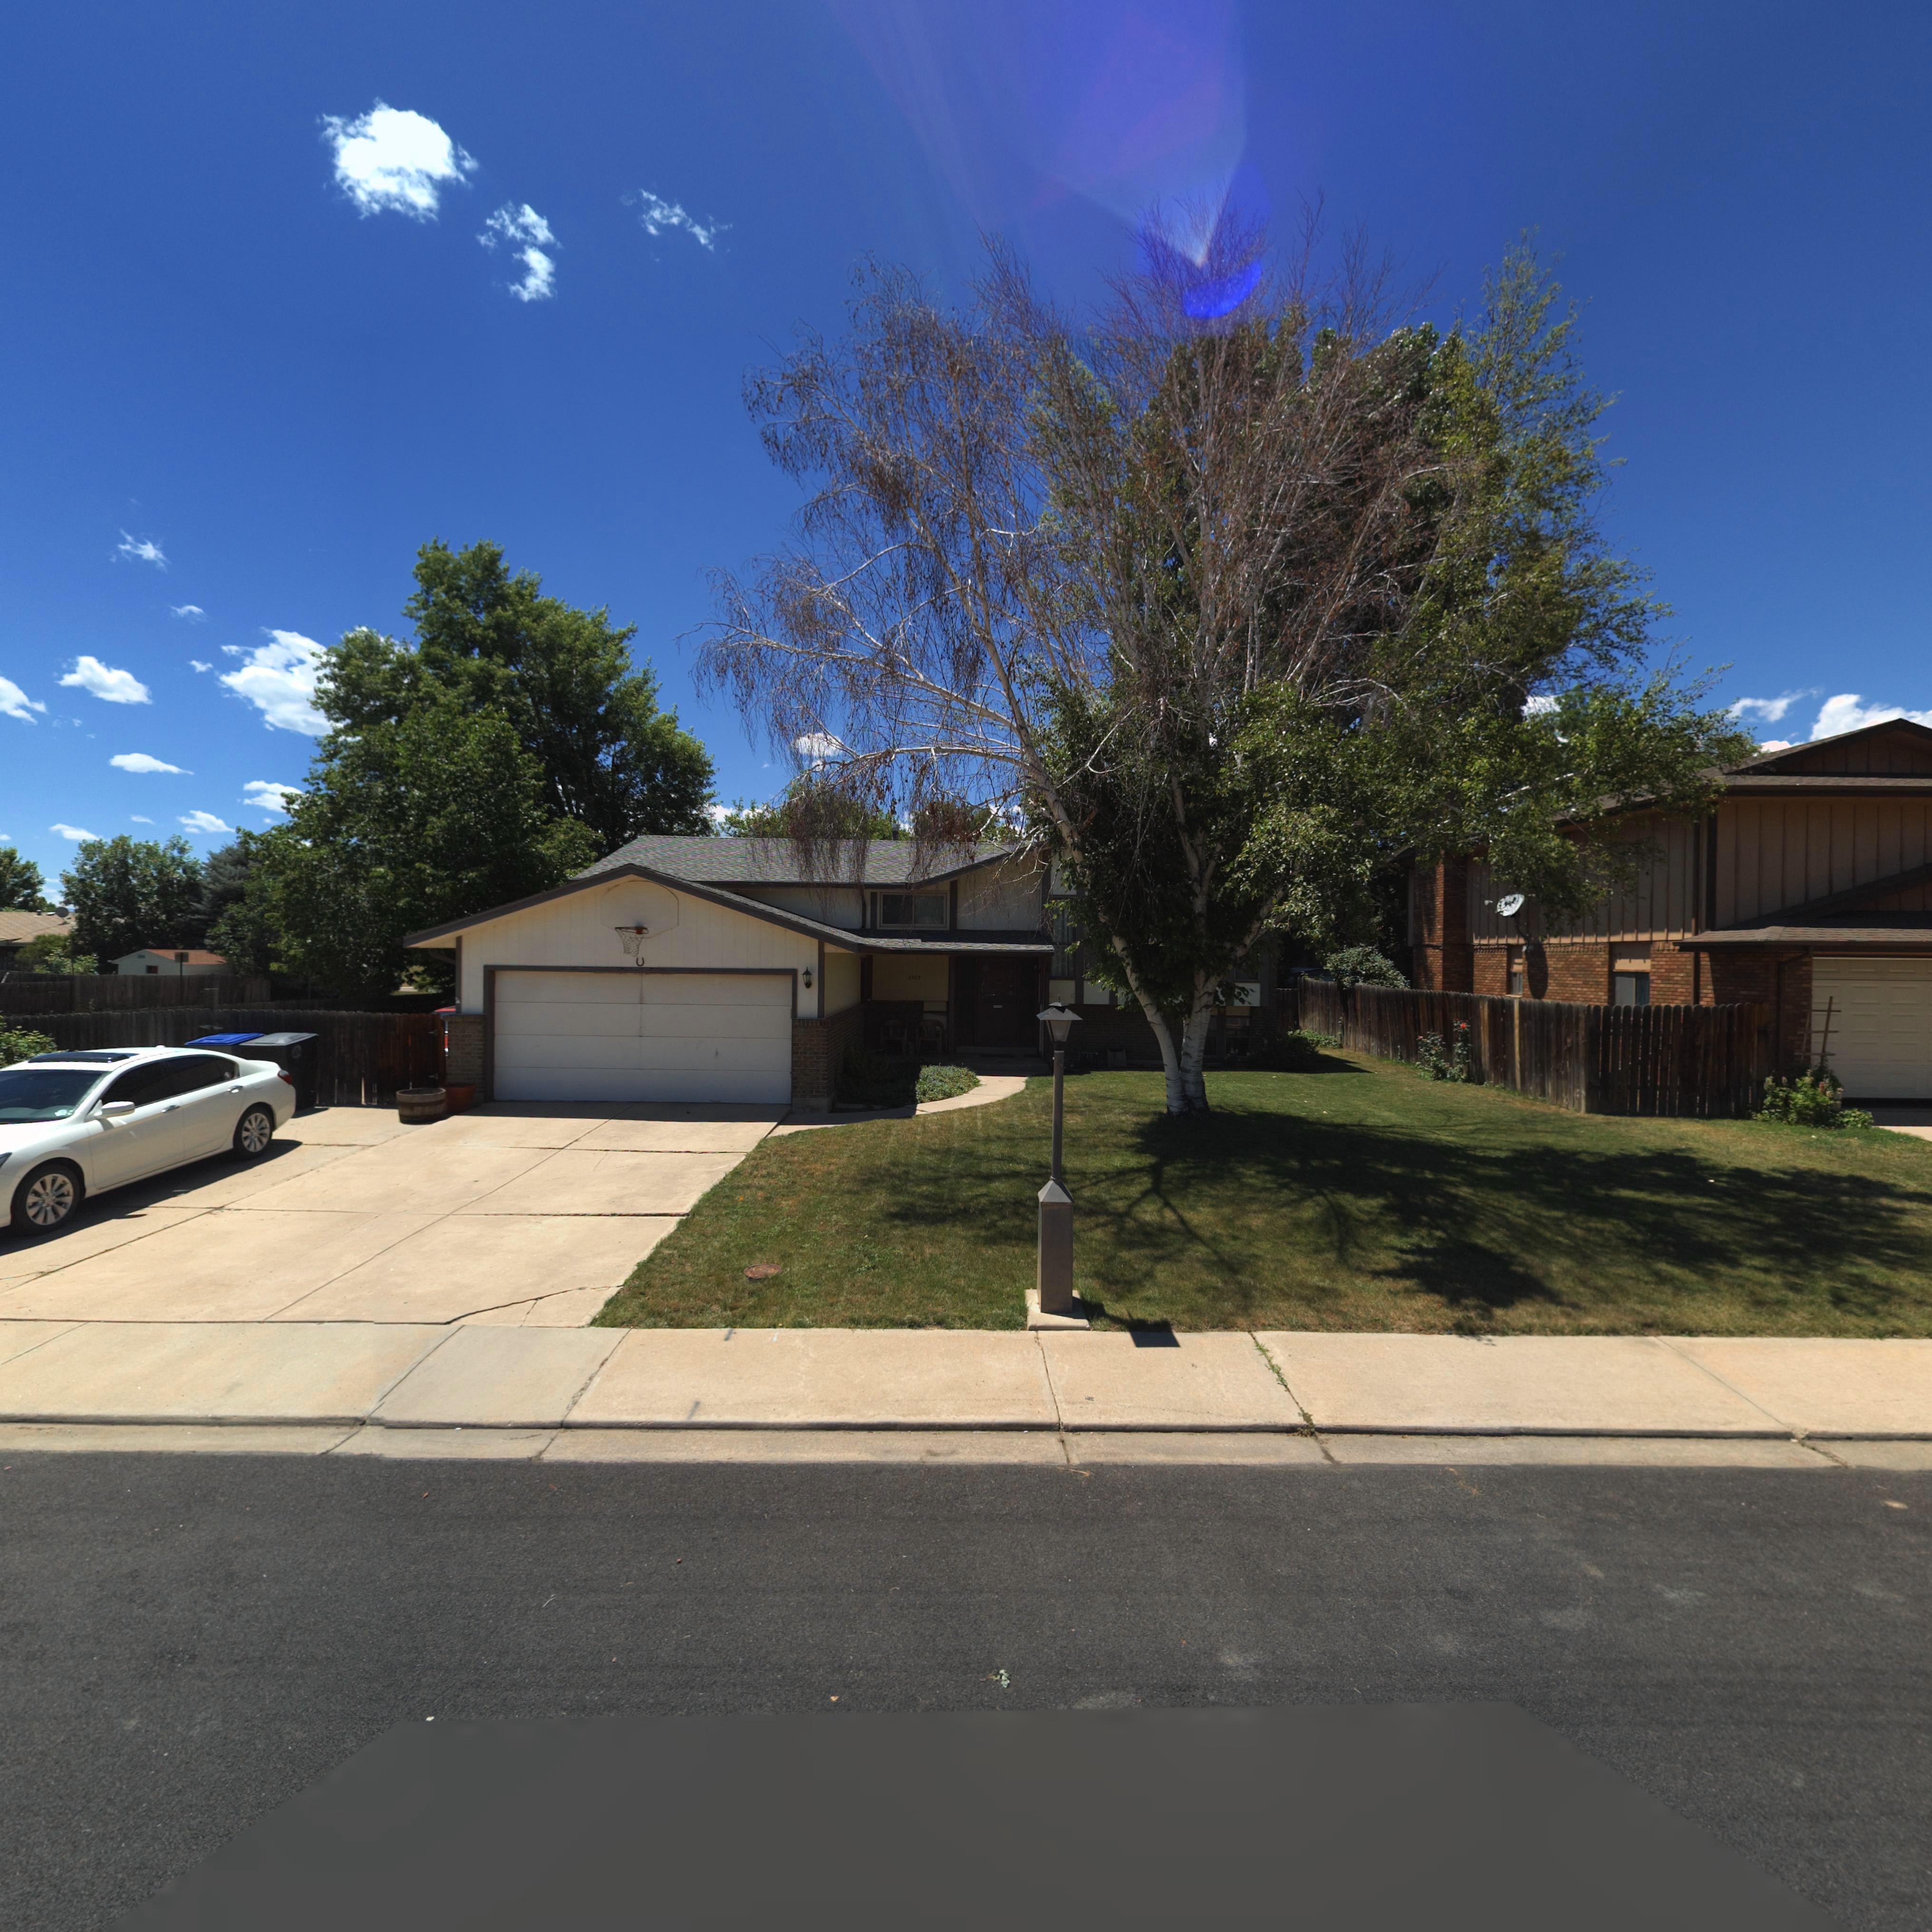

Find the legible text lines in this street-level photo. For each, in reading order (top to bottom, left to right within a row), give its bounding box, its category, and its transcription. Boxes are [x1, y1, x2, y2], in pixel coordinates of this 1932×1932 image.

[908, 975, 921, 980] StreetNumber: 2305